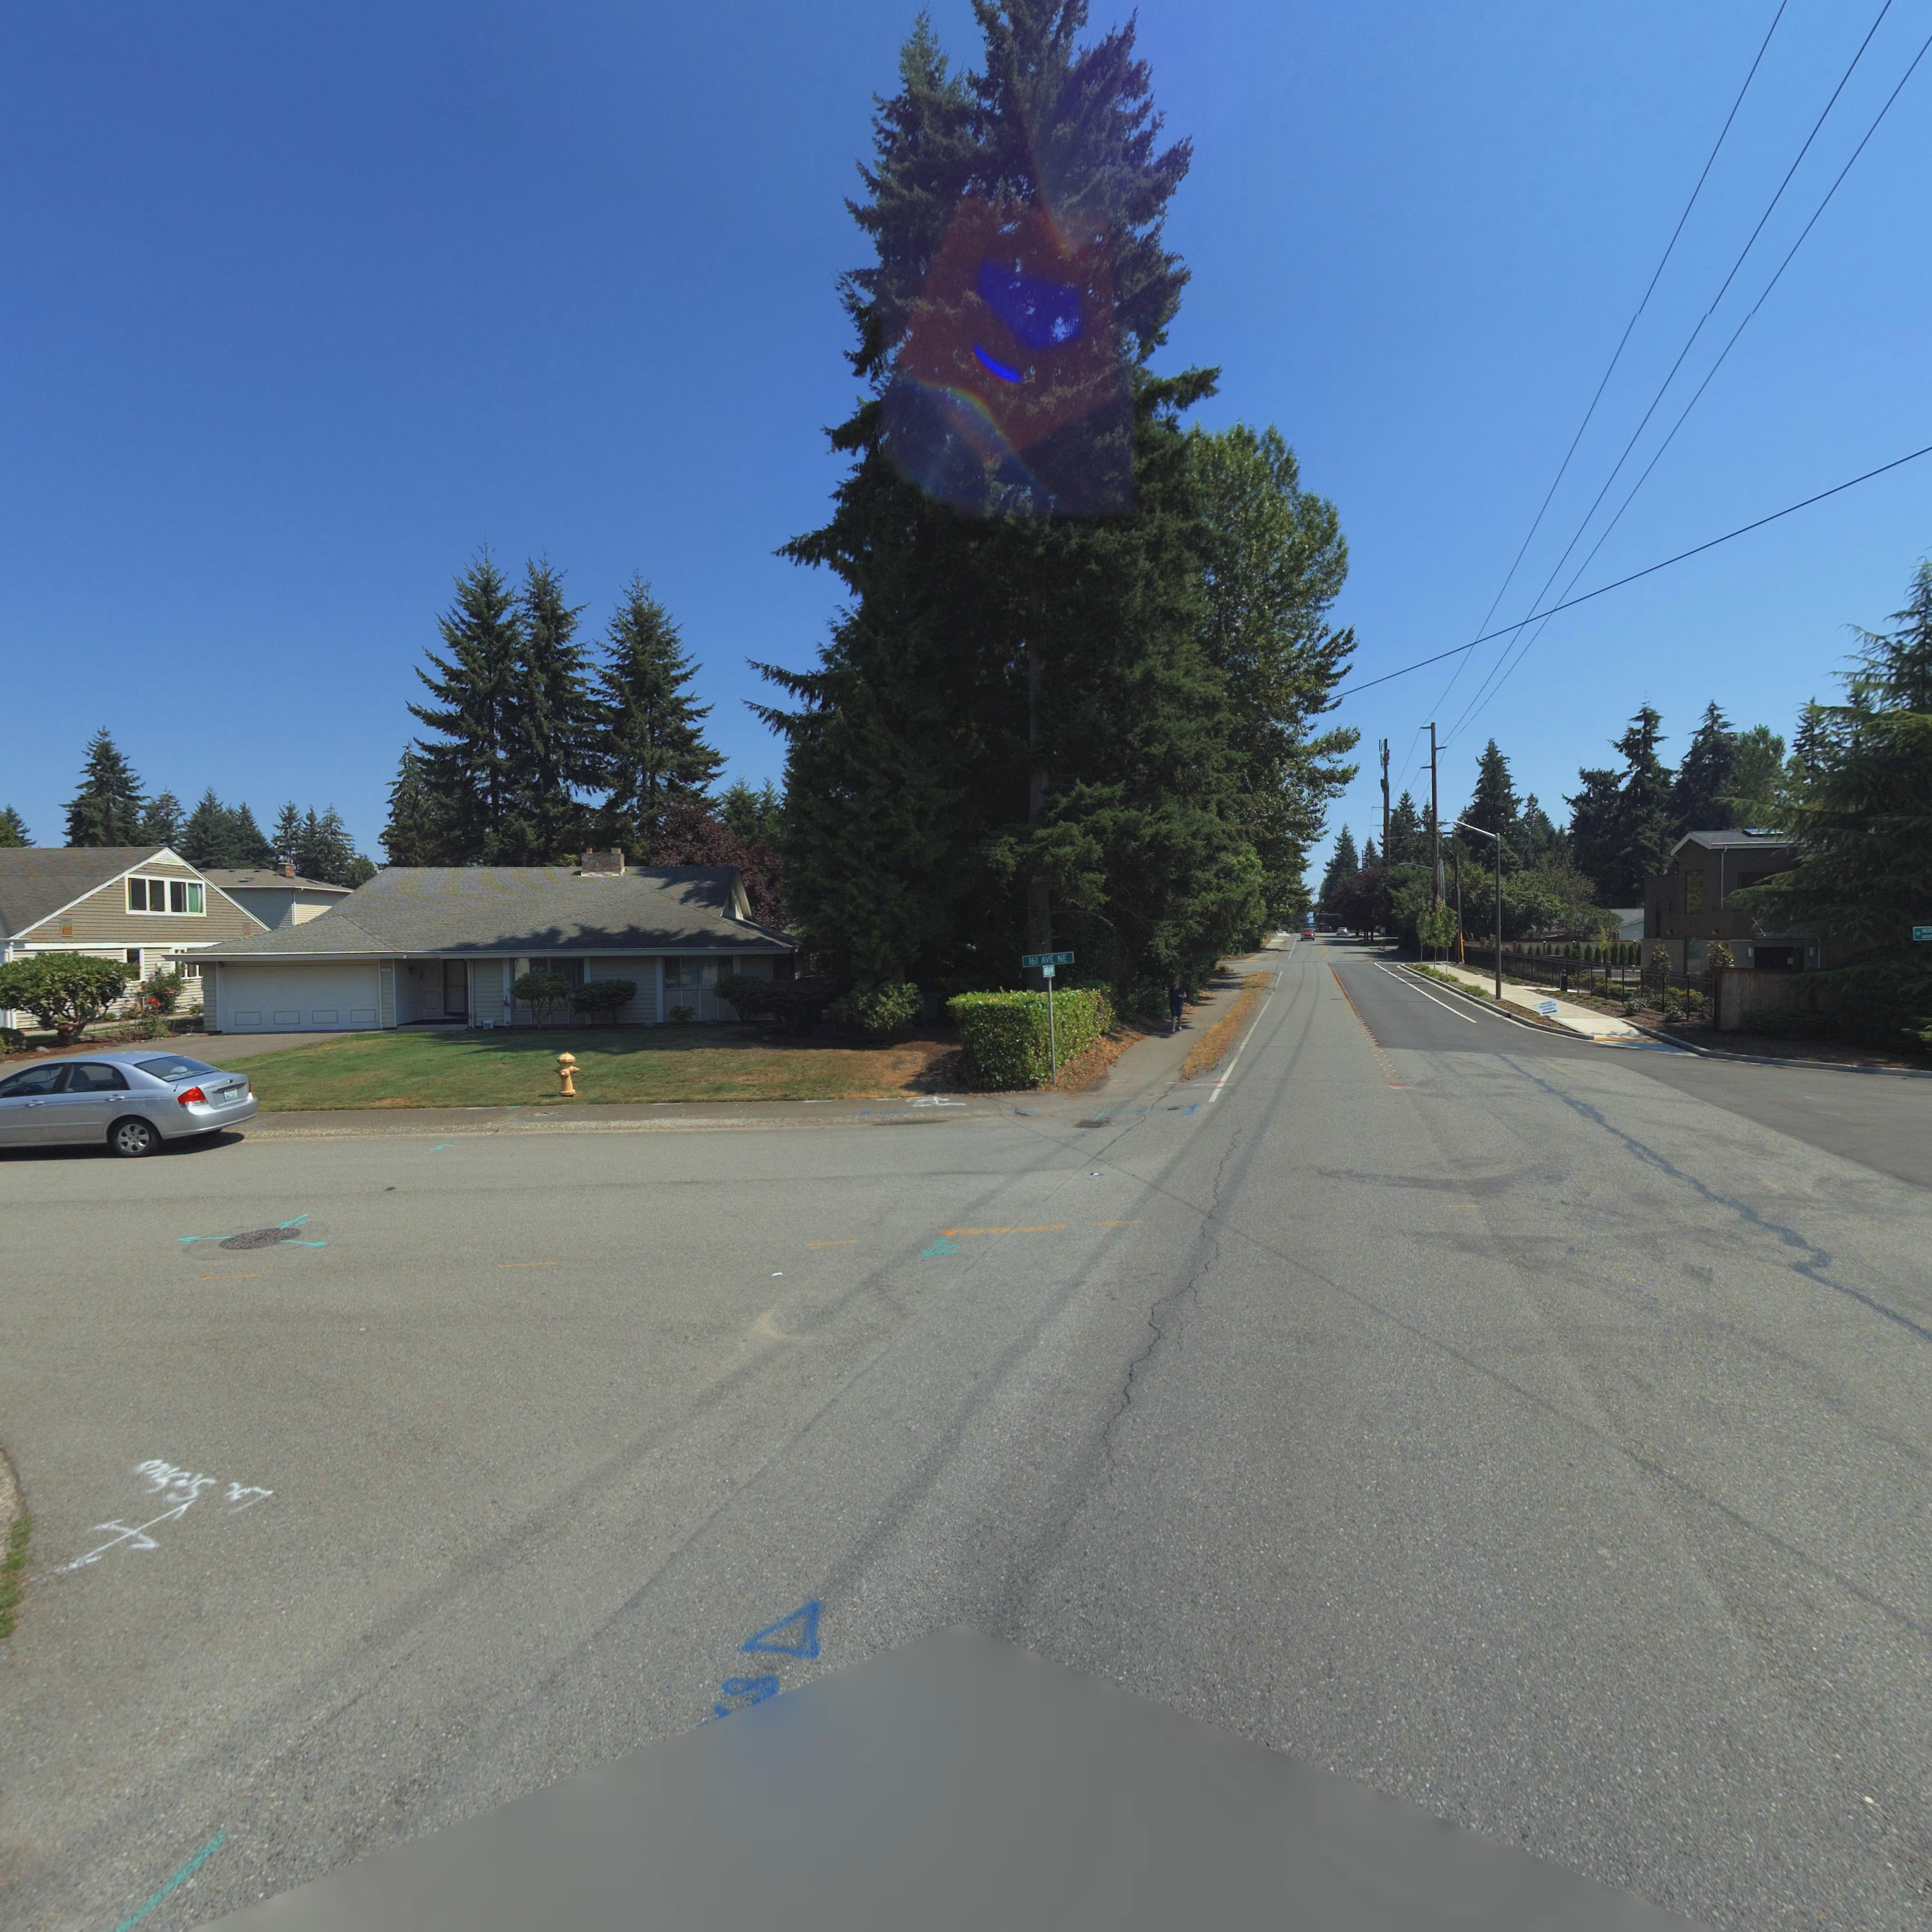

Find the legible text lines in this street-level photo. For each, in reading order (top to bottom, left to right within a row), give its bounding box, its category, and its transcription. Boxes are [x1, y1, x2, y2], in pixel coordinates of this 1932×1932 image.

[1029, 954, 1067, 965] StreetName: 161 AVE NE